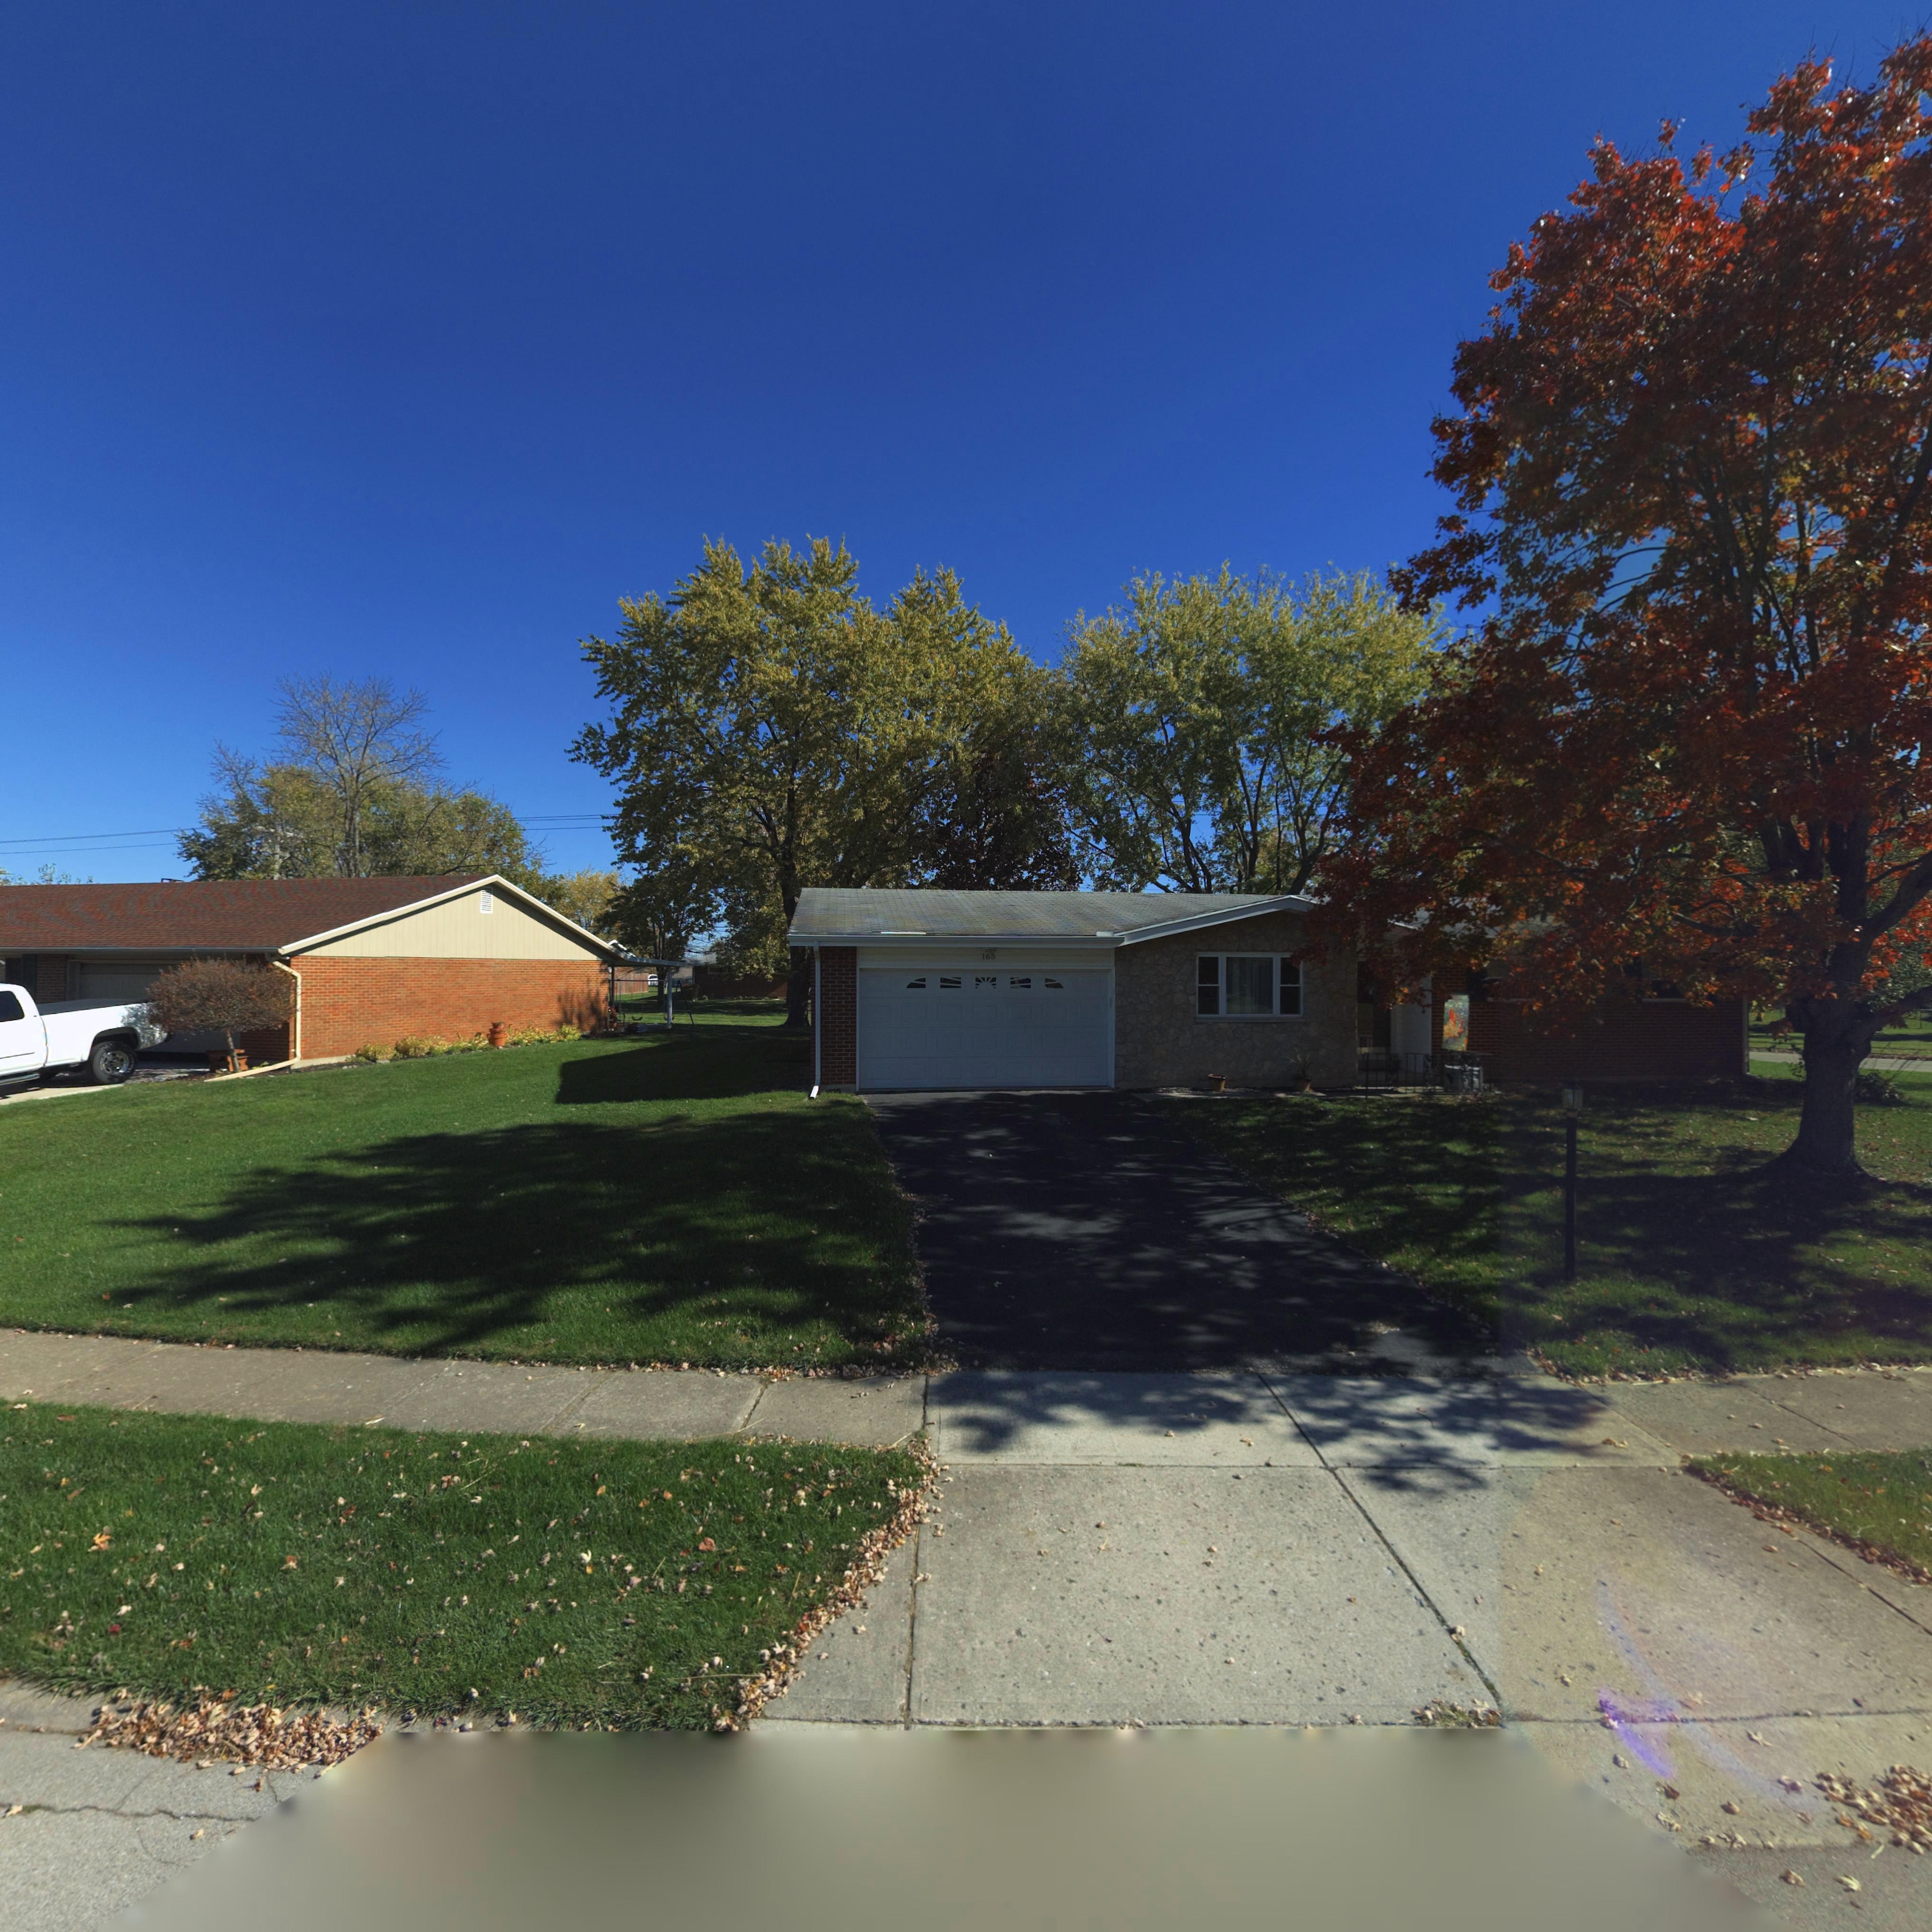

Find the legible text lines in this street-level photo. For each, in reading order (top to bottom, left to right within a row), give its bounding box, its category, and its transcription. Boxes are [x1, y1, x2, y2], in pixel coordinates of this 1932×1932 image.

[981, 952, 996, 961] StreetNumber: 165